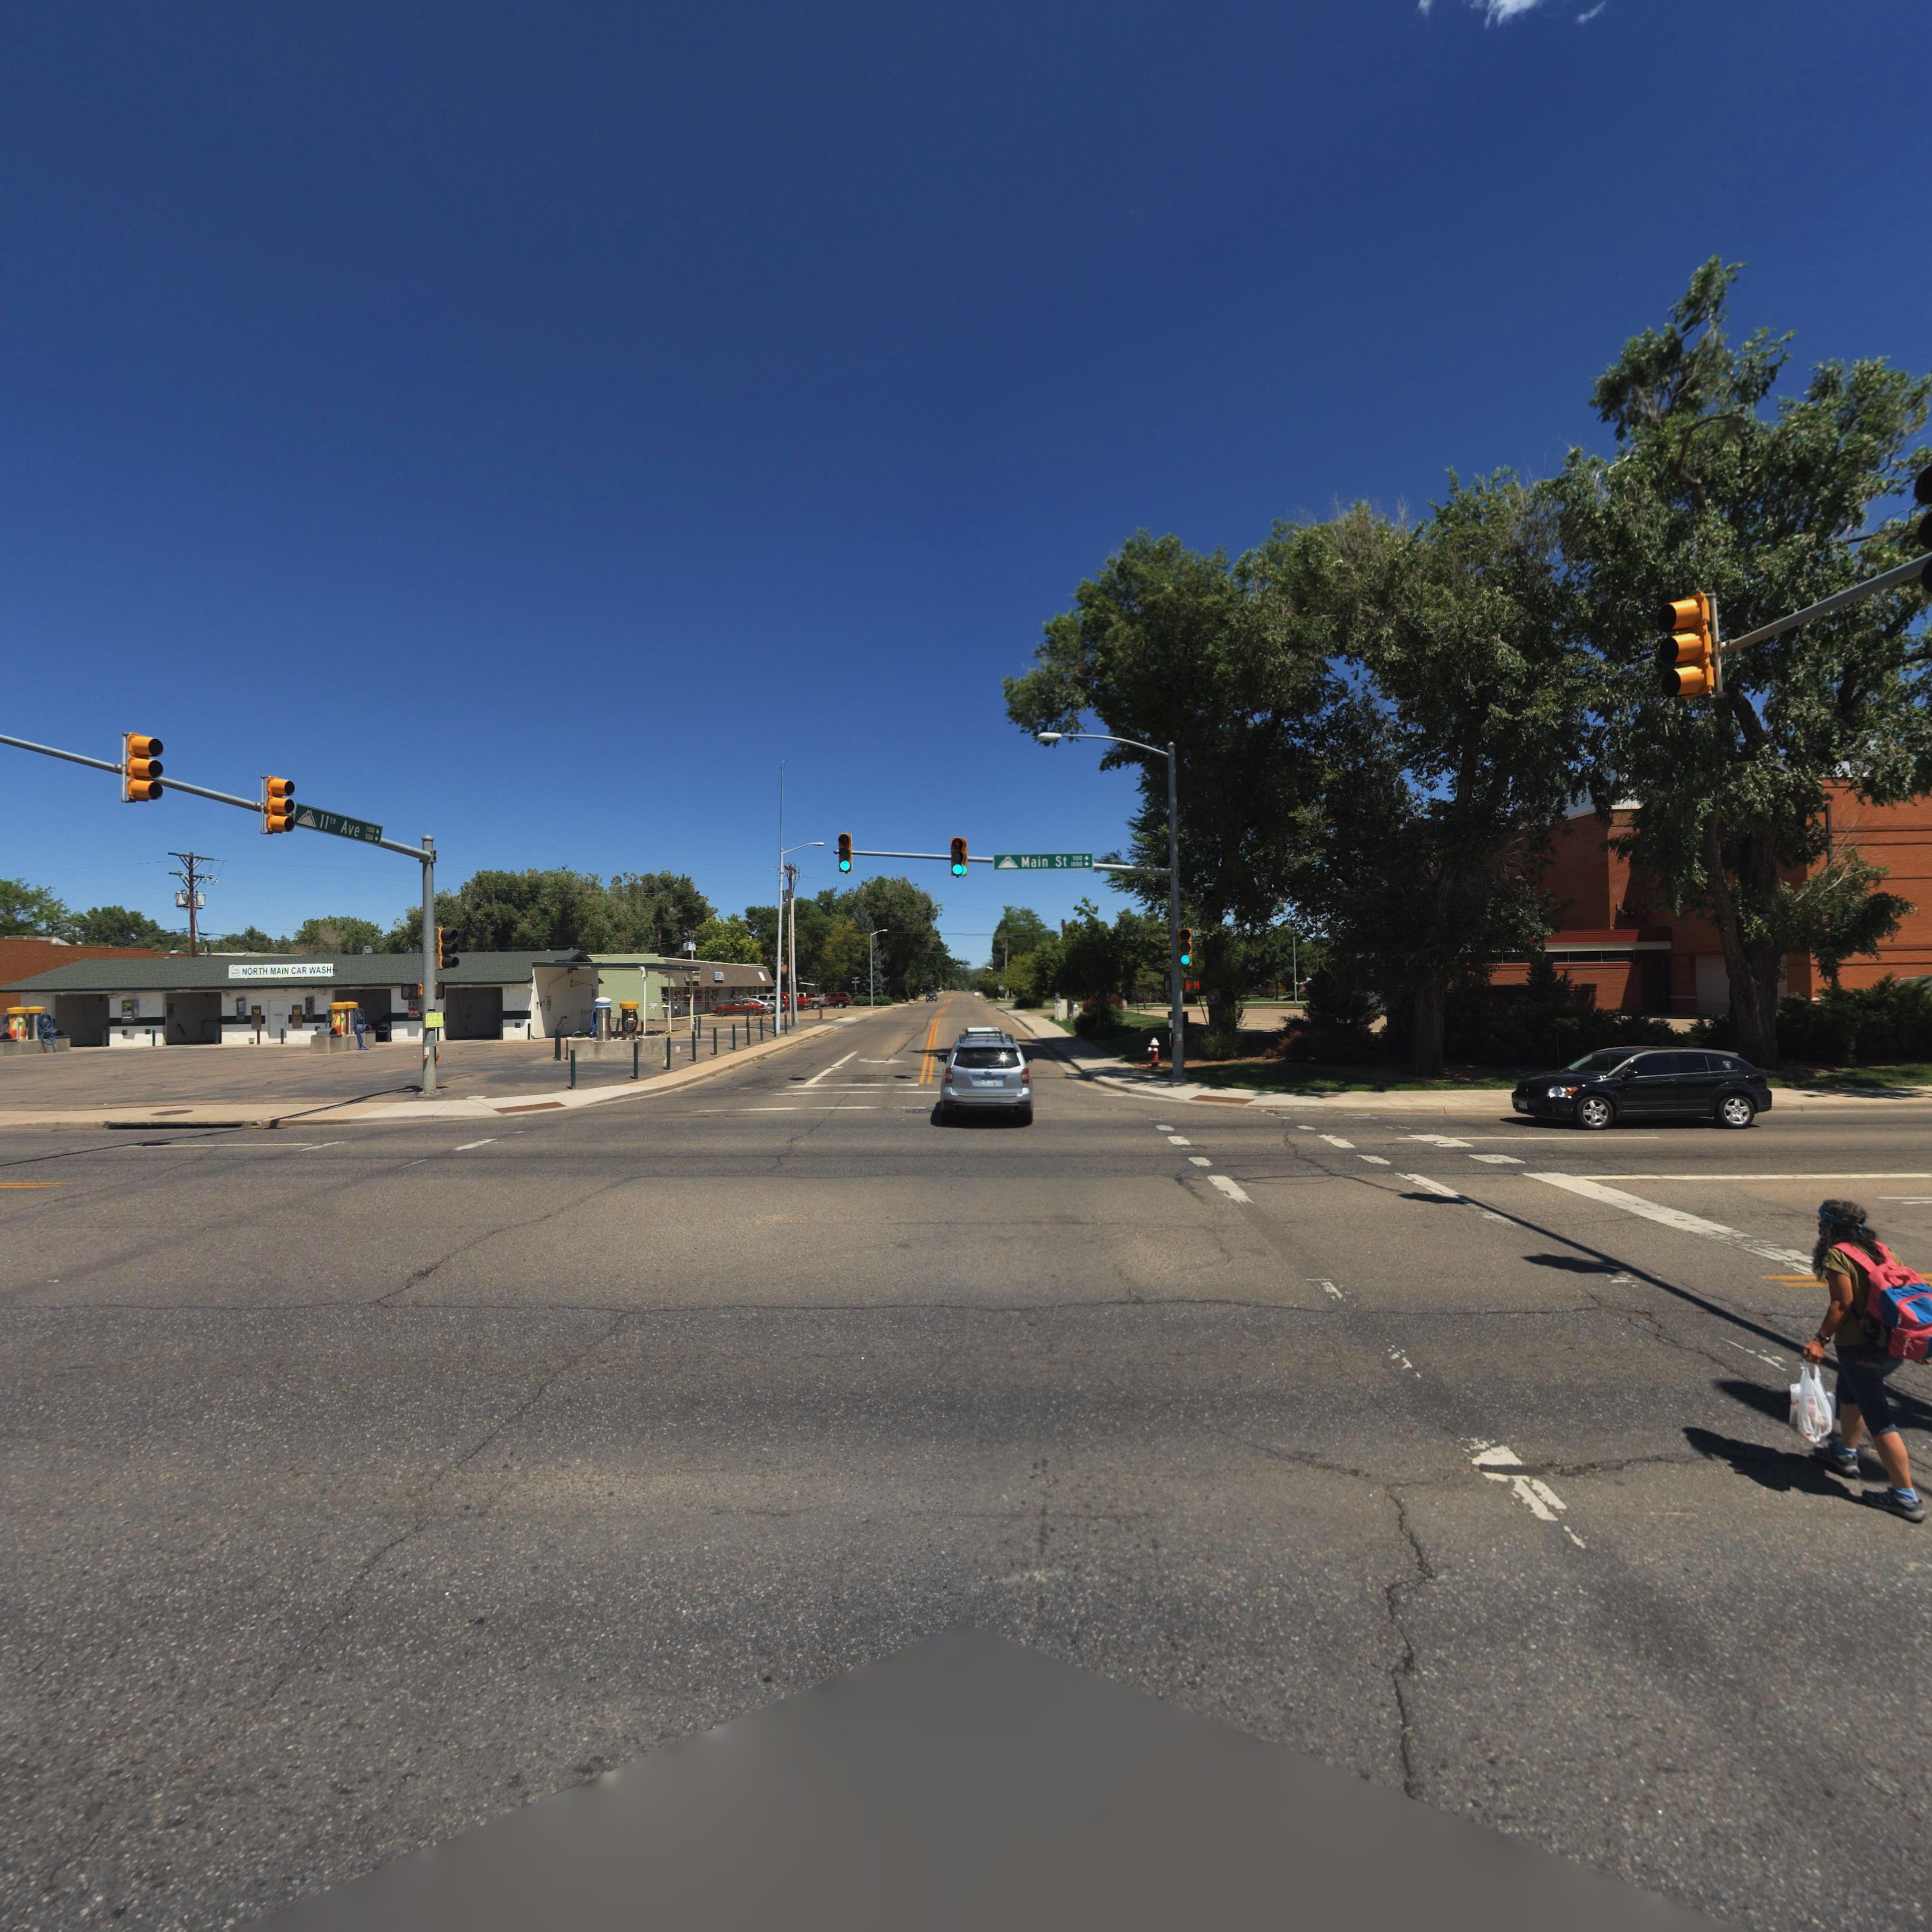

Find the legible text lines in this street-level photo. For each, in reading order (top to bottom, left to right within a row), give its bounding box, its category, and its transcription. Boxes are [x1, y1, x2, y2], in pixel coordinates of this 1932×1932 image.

[319, 812, 360, 837] StreetName: 11th Ave
[364, 832, 379, 842] StreetNumberRange: 5**->
[1021, 855, 1068, 868] StreetName: Main St
[1072, 855, 1082, 860] StreetNumberRange: 500
[1070, 861, 1089, 867] StreetNumberRange: 1000->
[241, 965, 332, 976] BusinessName: NORTH MAIN CAR WASH